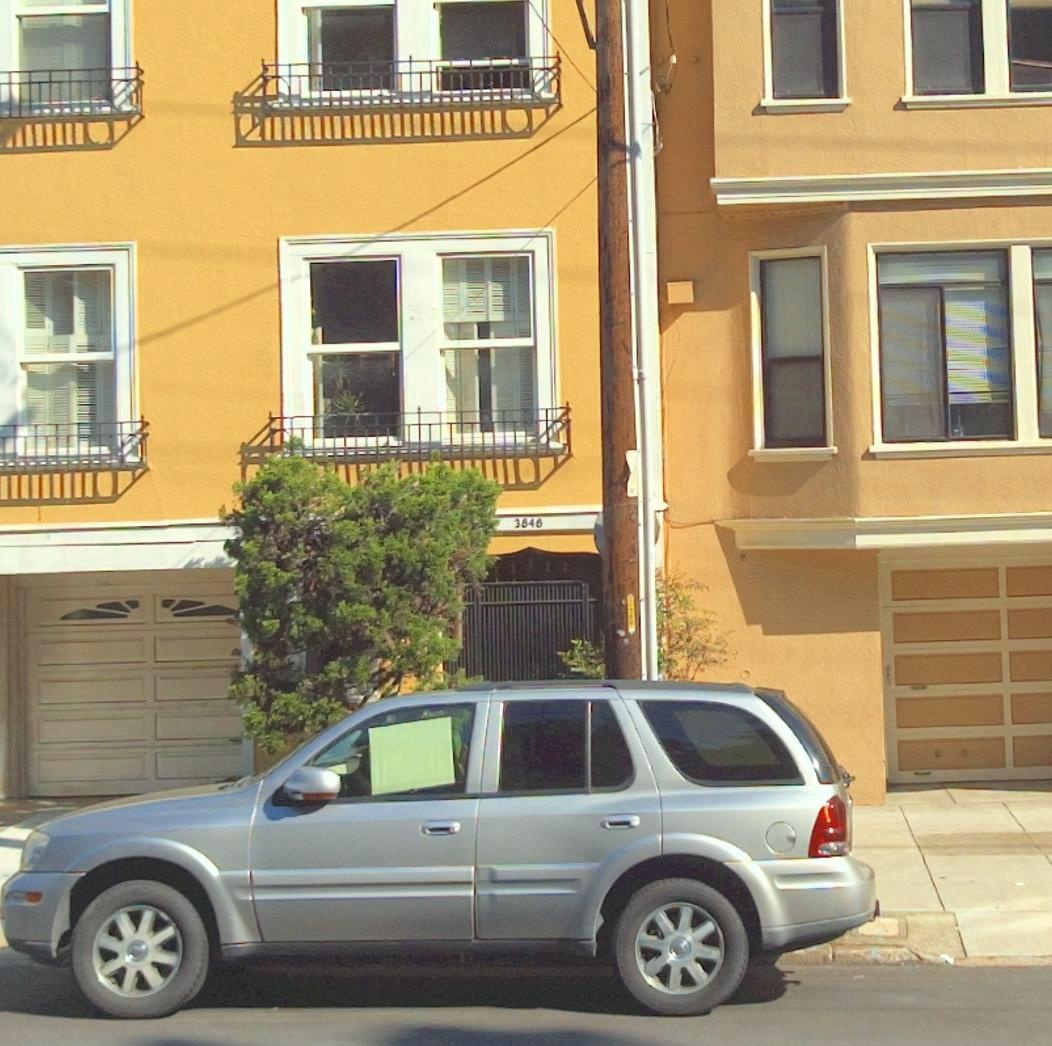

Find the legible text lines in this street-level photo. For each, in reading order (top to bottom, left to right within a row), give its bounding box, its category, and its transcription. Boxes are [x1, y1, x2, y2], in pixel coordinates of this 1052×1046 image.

[513, 515, 543, 531] StreetNumber: 3846